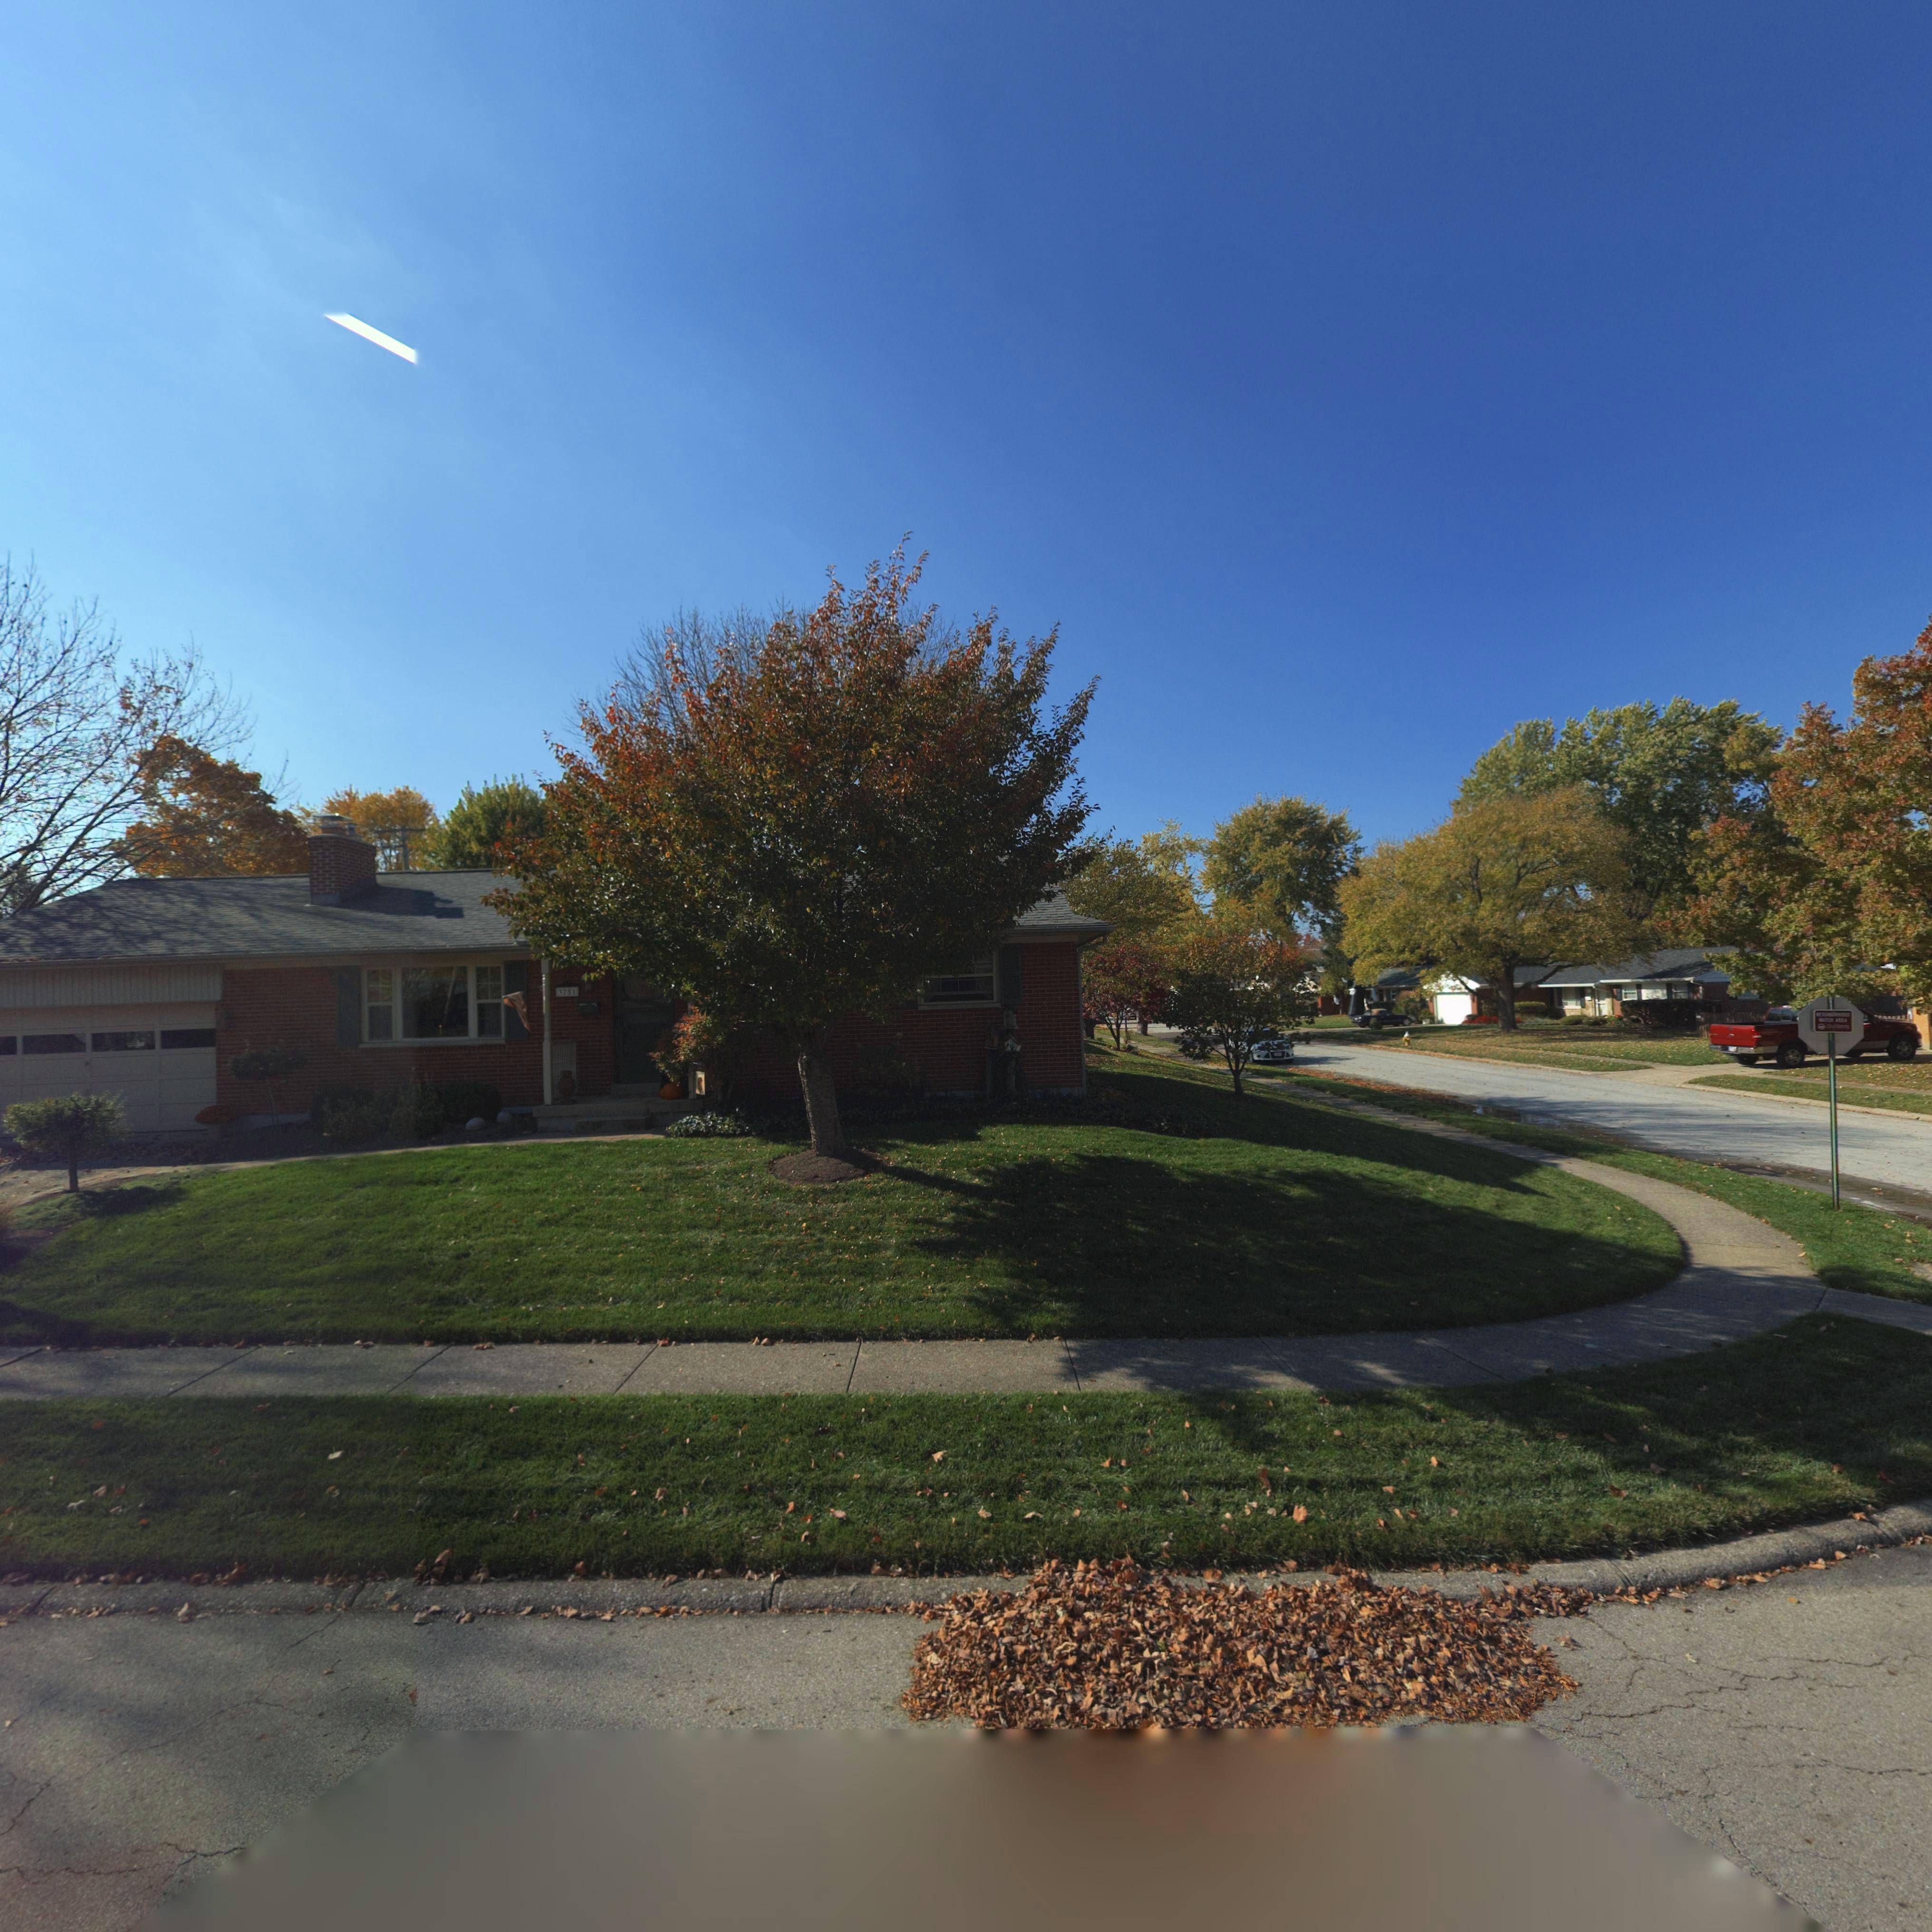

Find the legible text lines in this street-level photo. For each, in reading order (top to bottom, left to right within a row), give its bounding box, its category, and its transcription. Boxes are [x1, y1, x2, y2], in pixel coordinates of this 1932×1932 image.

[558, 989, 575, 996] StreetNumber: 3751